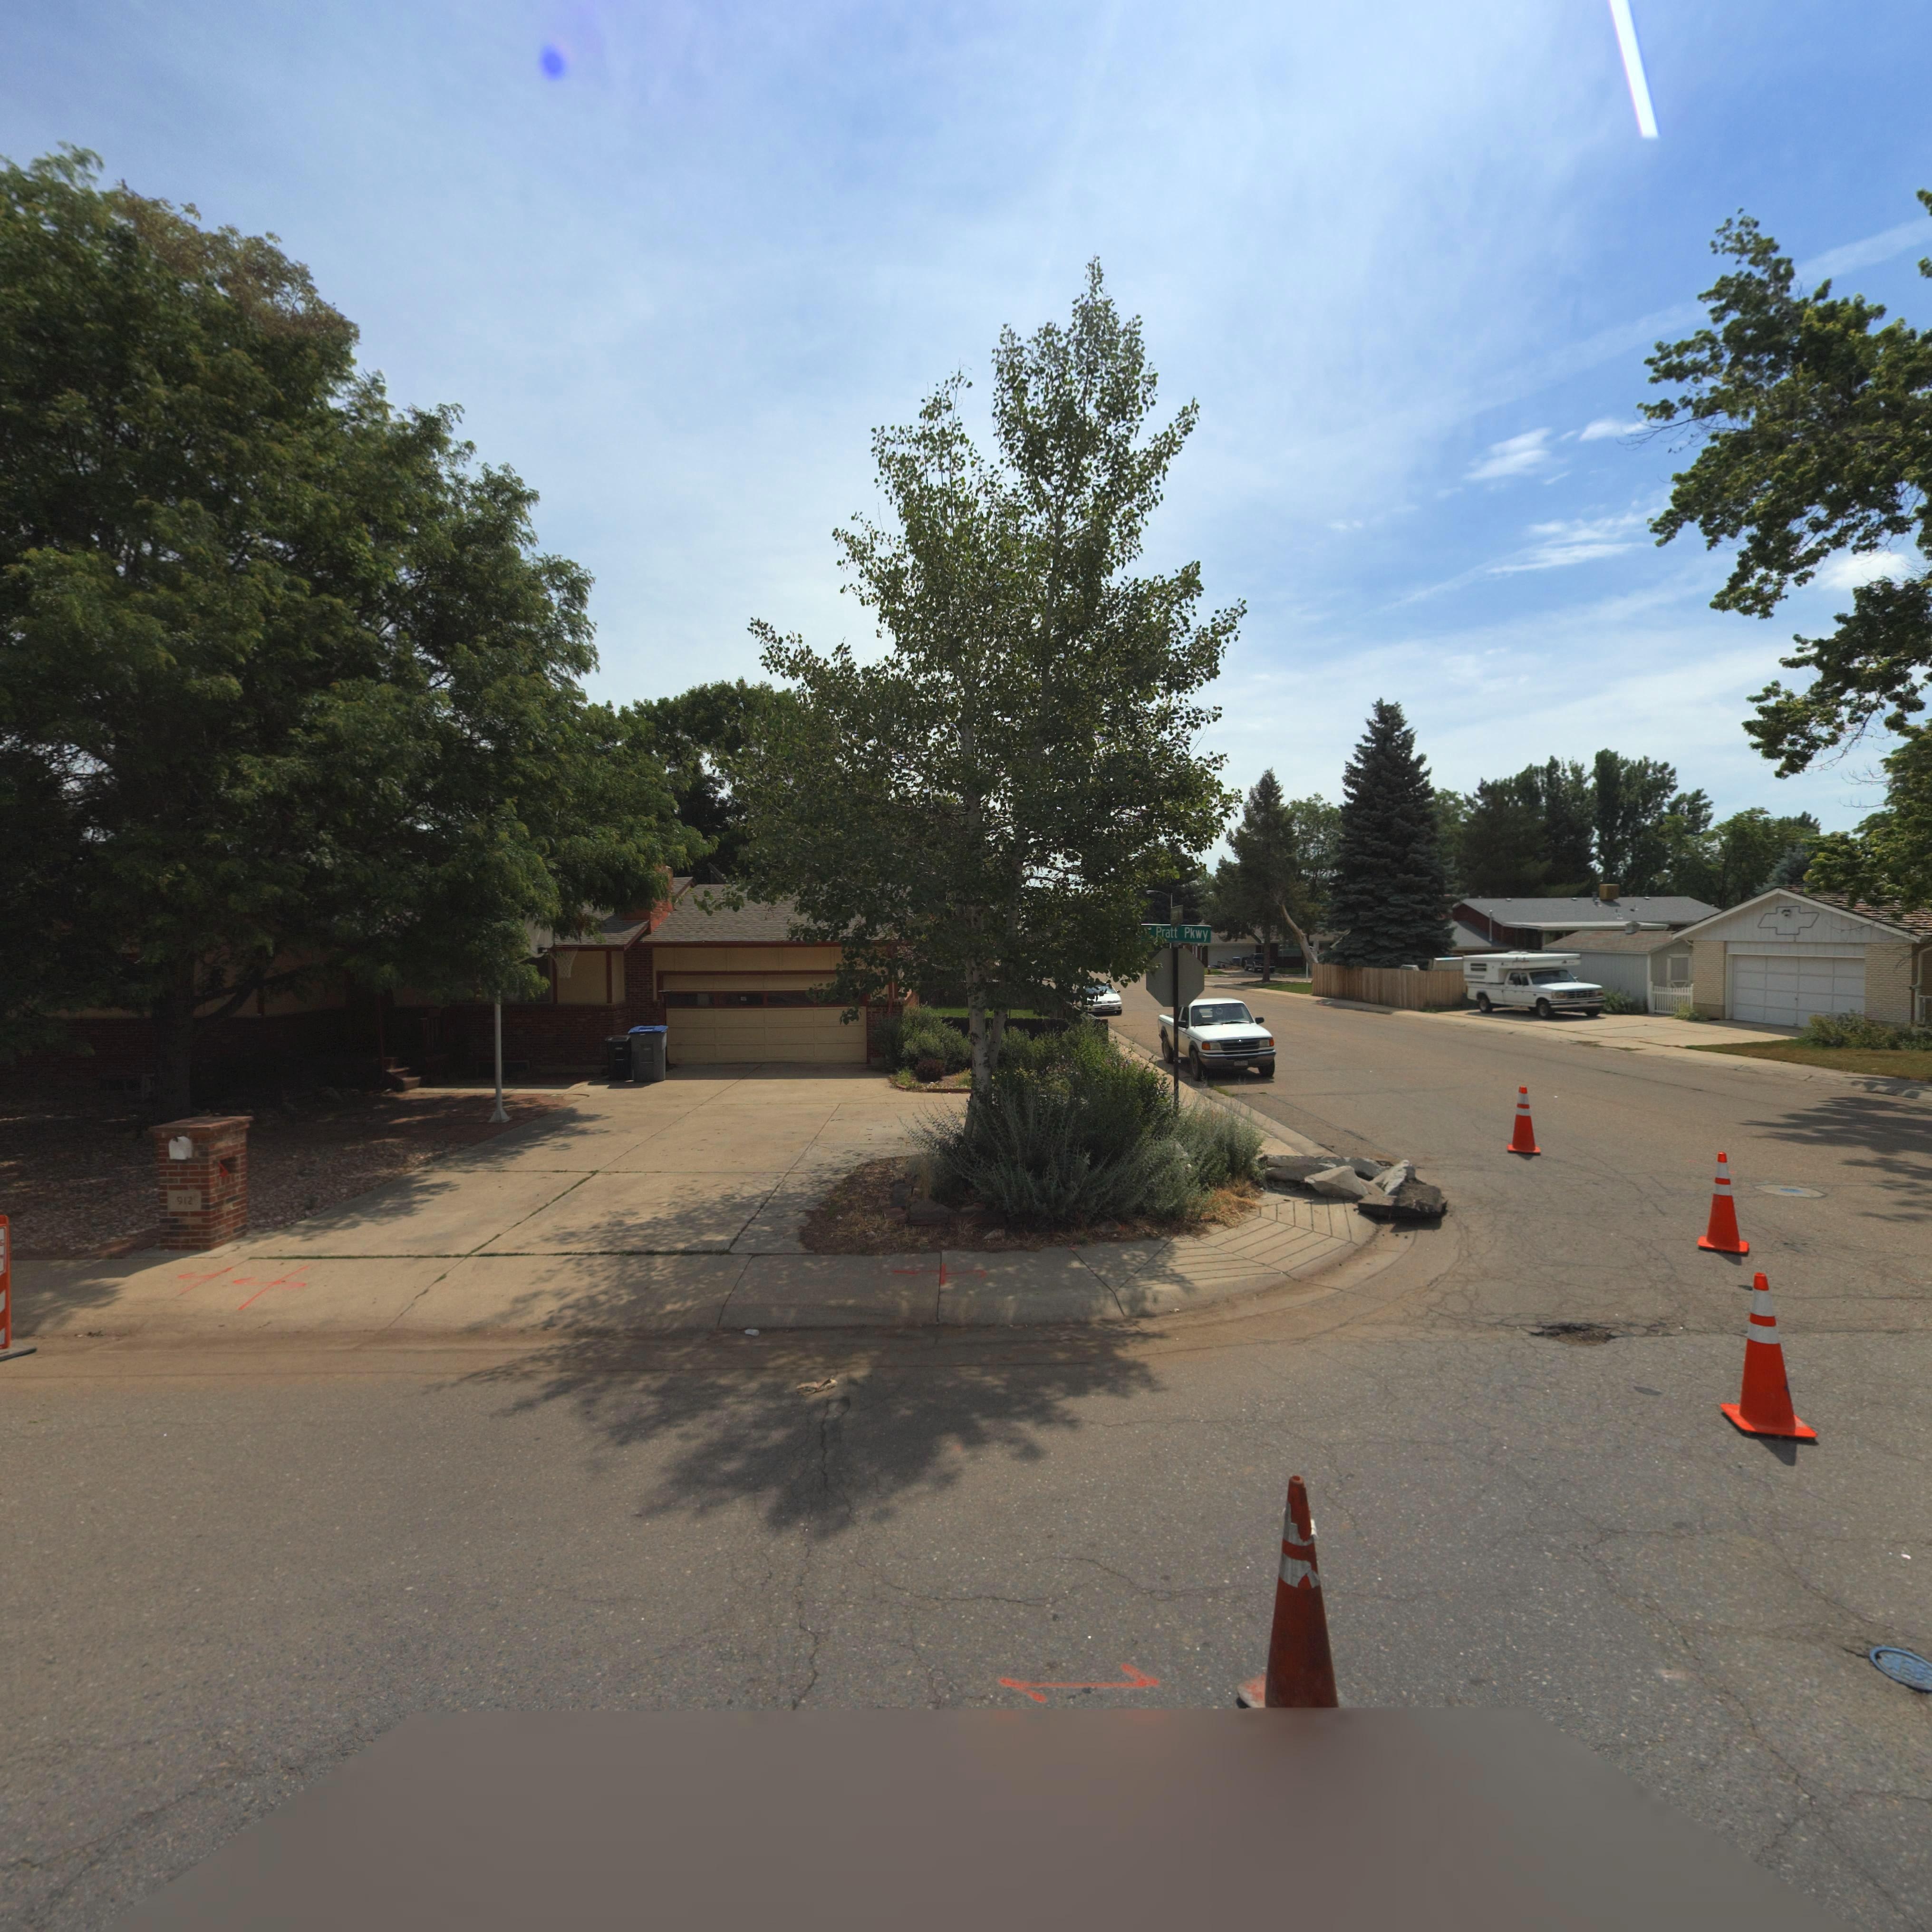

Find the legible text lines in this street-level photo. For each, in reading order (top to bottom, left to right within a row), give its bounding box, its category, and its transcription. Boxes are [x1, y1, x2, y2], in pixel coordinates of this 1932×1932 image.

[1156, 926, 1208, 942] StreetName: Pratt Pkwy
[176, 1196, 193, 1205] StreetNumber: 912